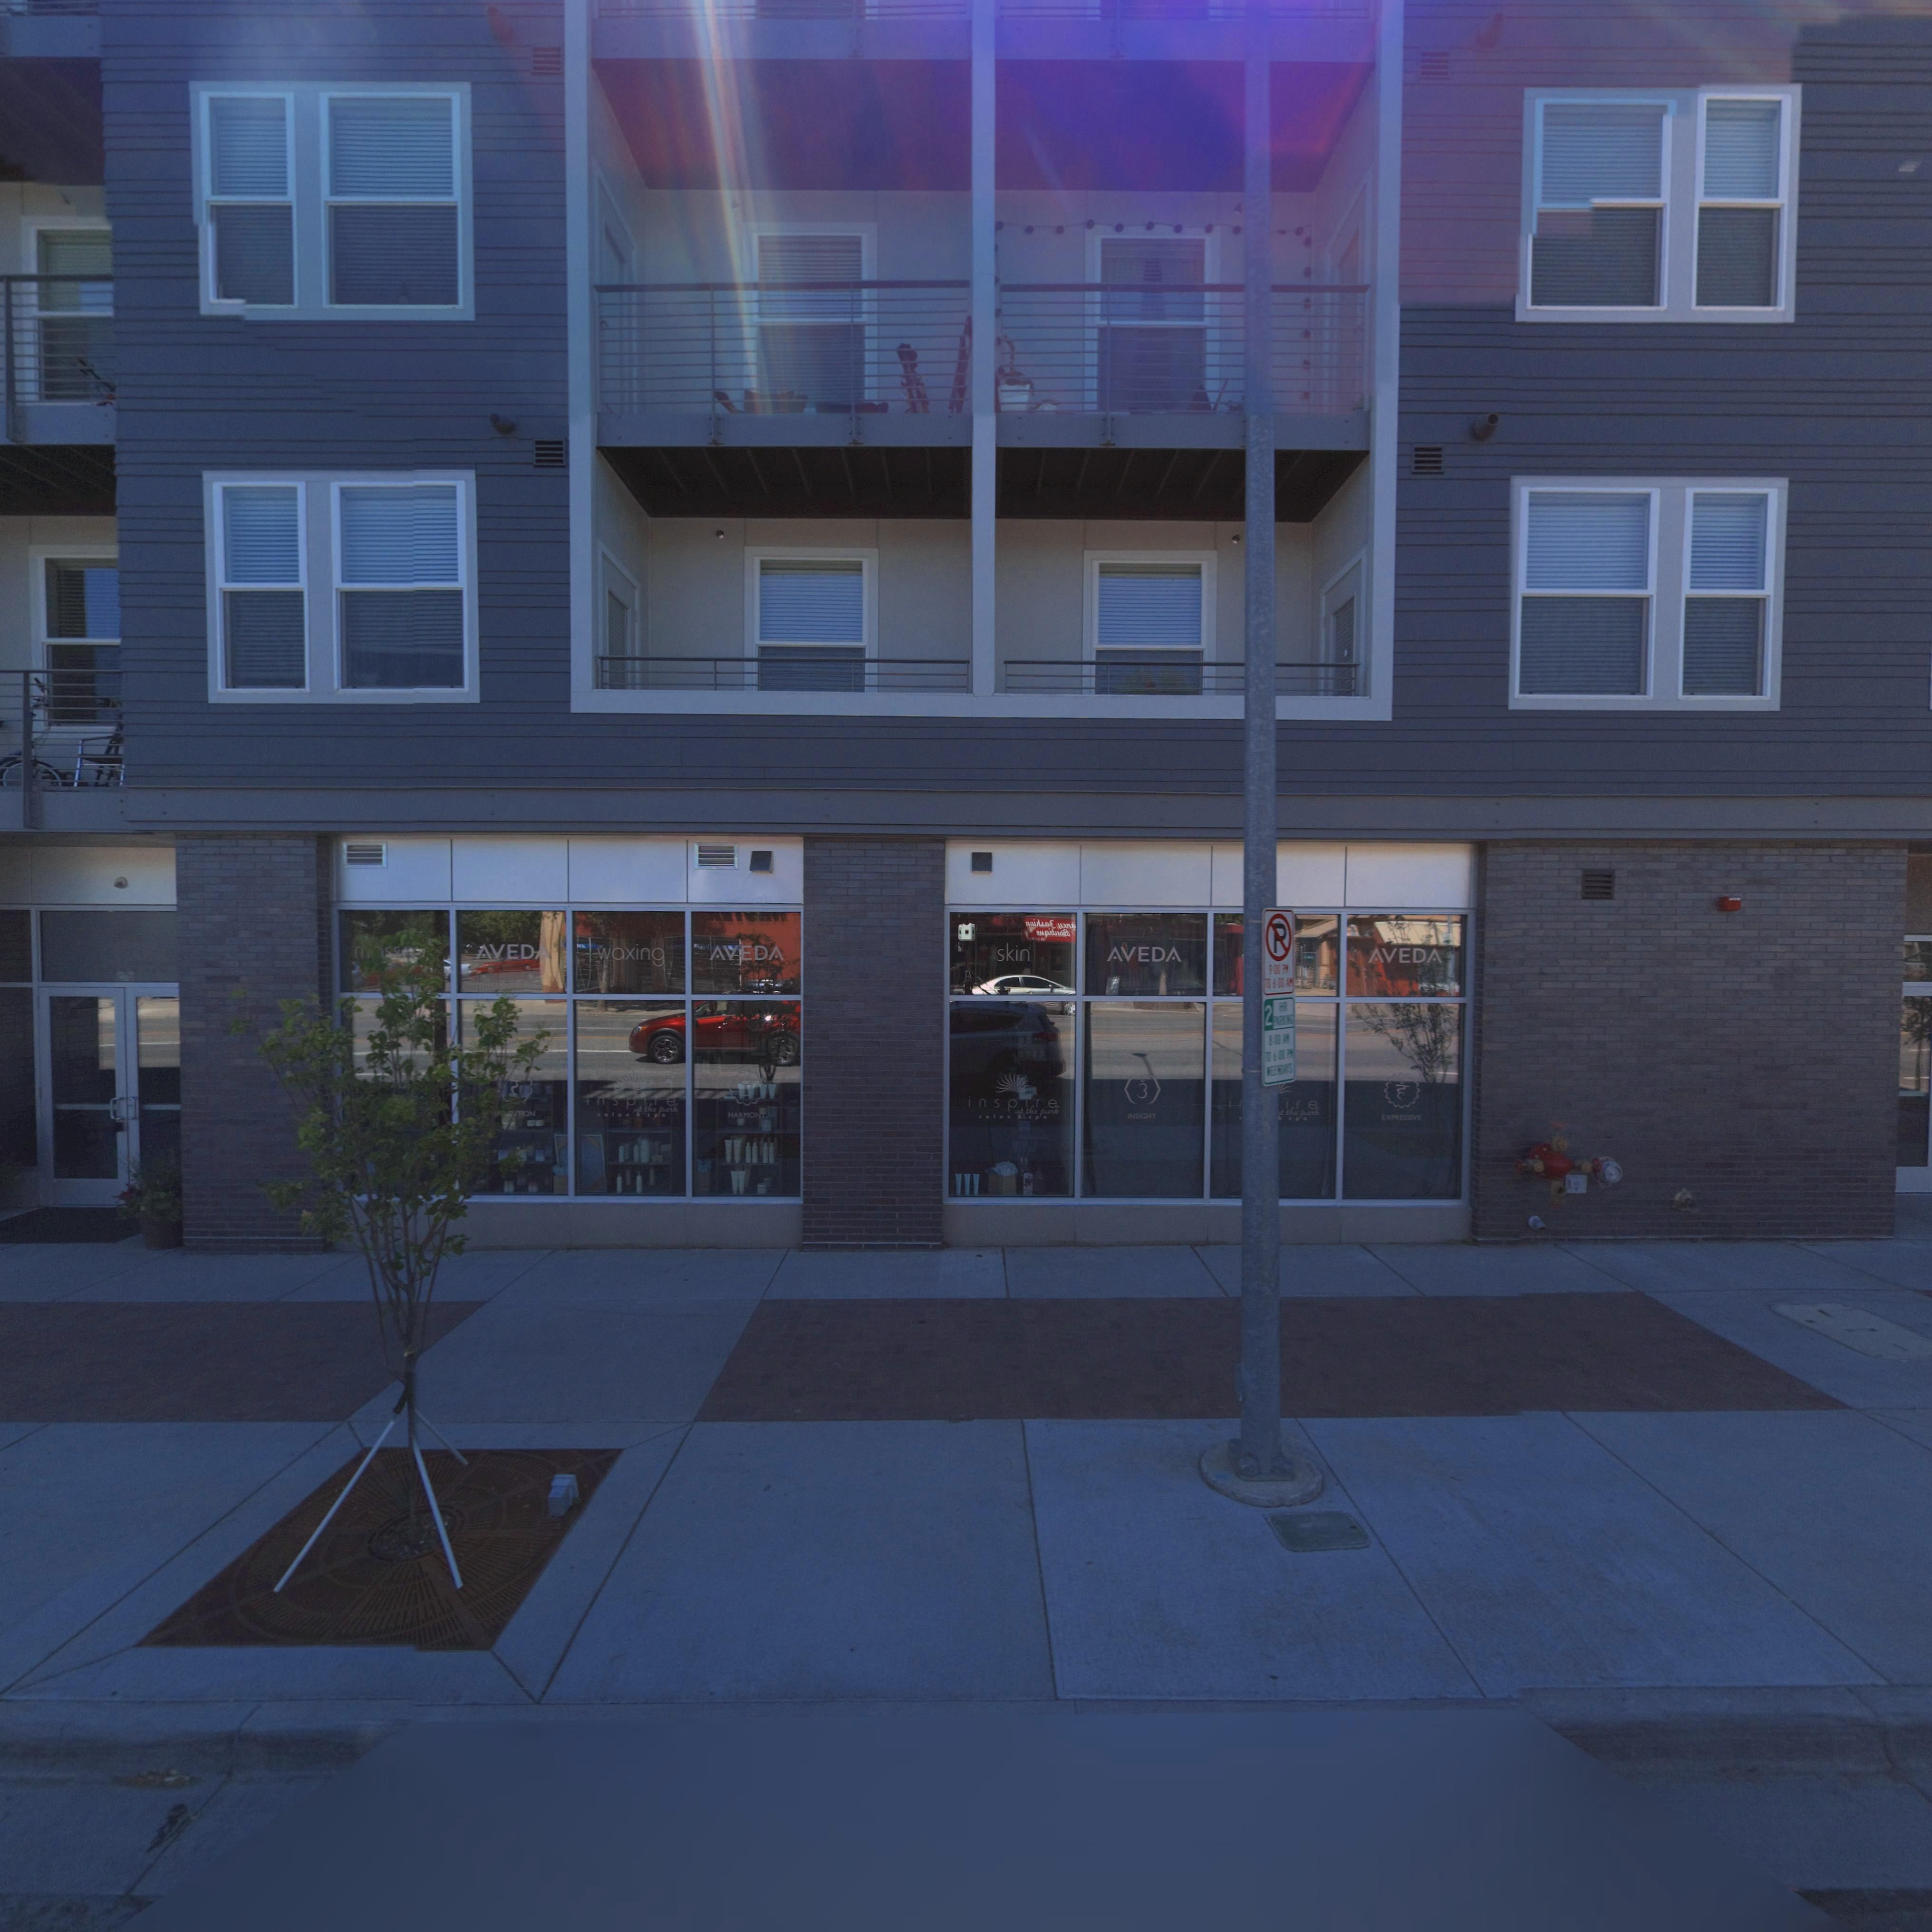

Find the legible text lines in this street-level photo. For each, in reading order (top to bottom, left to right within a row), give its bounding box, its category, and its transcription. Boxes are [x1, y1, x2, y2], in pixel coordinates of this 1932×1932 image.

[586, 1093, 676, 1111] BusinessName: inspire
[967, 1095, 1058, 1112] BusinessName: inspire
[1228, 1097, 1318, 1110] BusinessName: i***ire
[597, 1111, 666, 1118] BusinessName: *alon & sp*
[633, 1105, 679, 1115] BusinessName: at the park
[978, 1113, 1047, 1121] BusinessName: *alon & spa
[1014, 1107, 1059, 1118] BusinessName: at the park
[1288, 1117, 1308, 1122] BusinessName: spa
[1277, 1109, 1320, 1119] BusinessName: *t the park